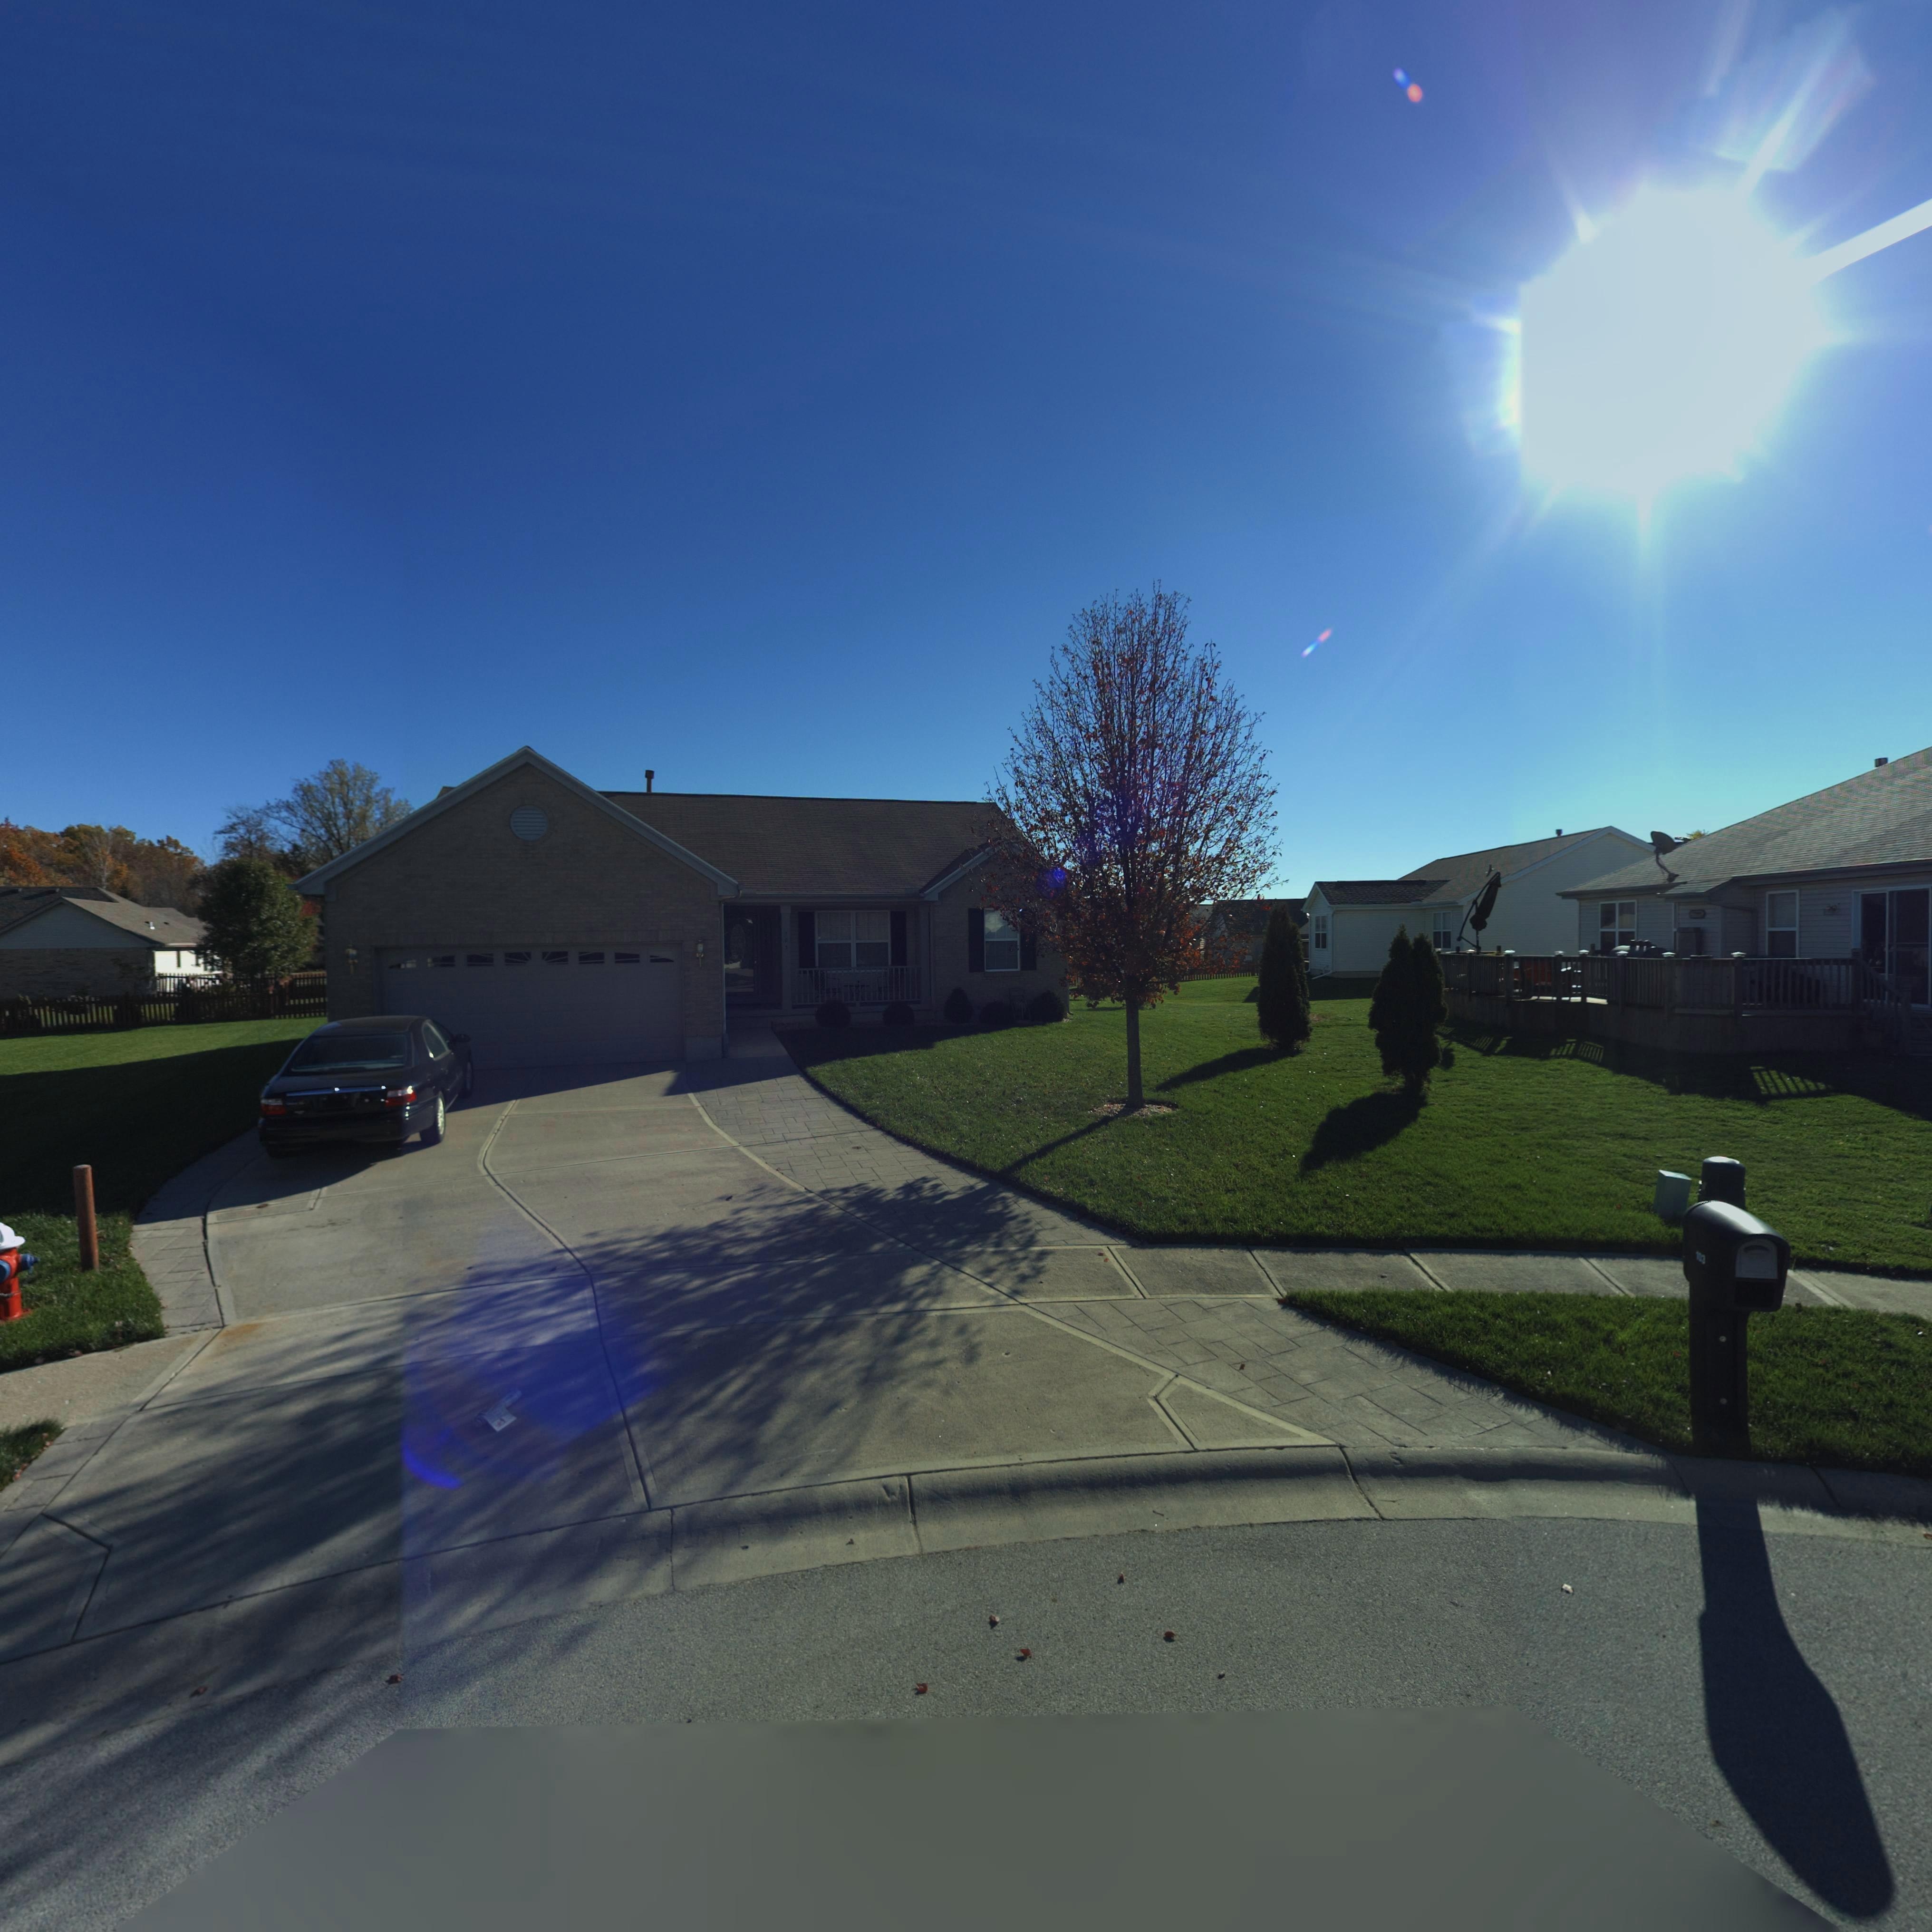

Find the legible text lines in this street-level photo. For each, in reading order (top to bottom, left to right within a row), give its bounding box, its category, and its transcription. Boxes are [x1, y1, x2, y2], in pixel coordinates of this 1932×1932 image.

[784, 931, 788, 950] StreetNumber: 103
[1695, 1250, 1706, 1265] StreetNumber: 103